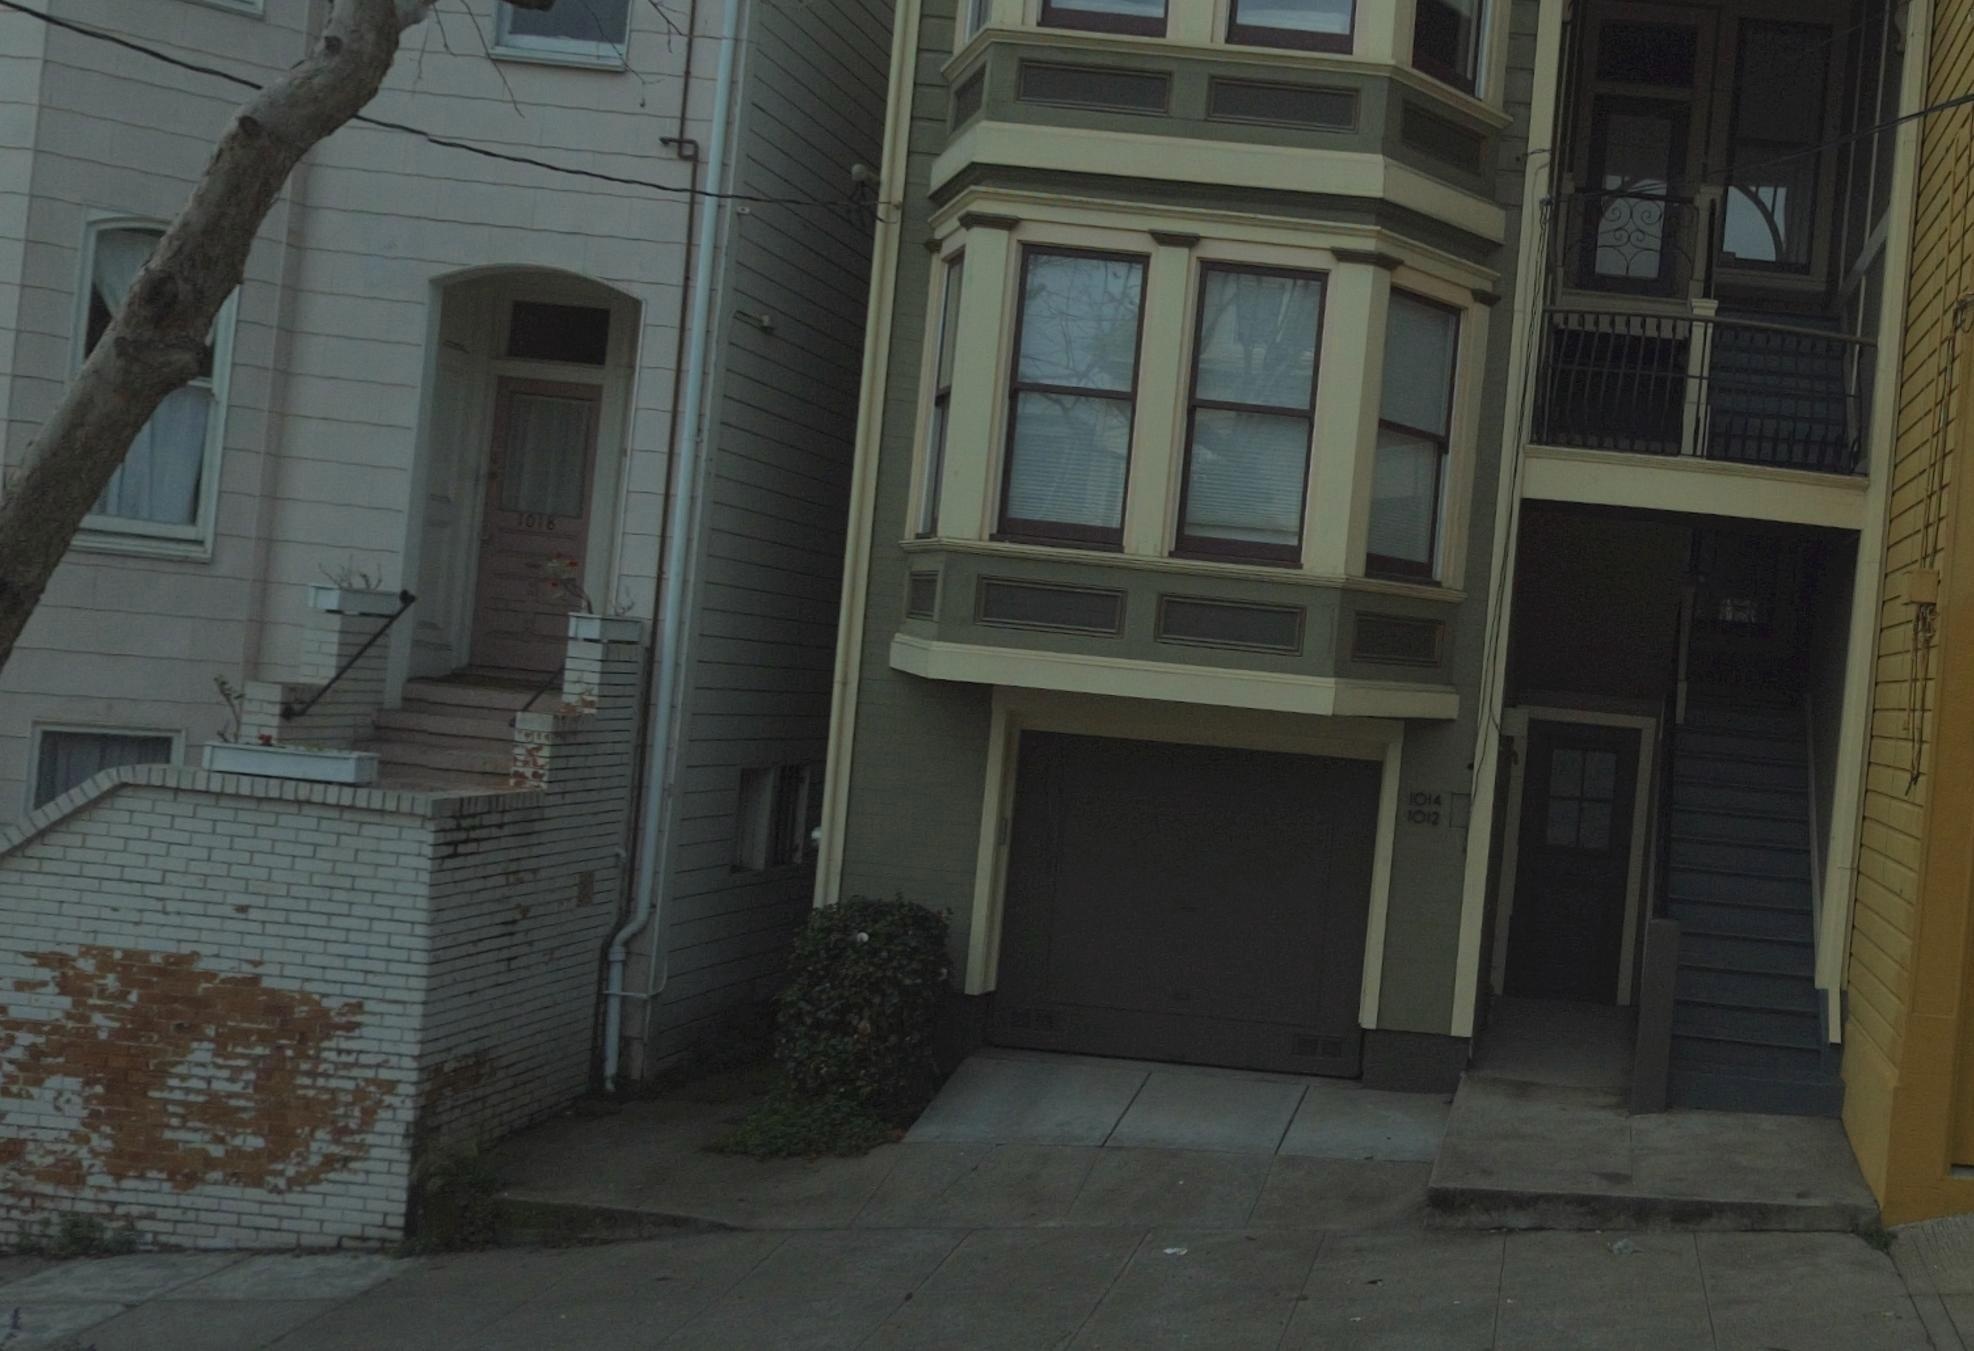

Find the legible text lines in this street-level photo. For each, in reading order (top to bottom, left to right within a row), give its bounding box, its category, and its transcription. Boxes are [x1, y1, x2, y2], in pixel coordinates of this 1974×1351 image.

[516, 512, 559, 532] StreetNumber: 1018
[1407, 790, 1443, 808] StreetNumber: 1014
[1405, 806, 1442, 827] StreetNumber: 1012